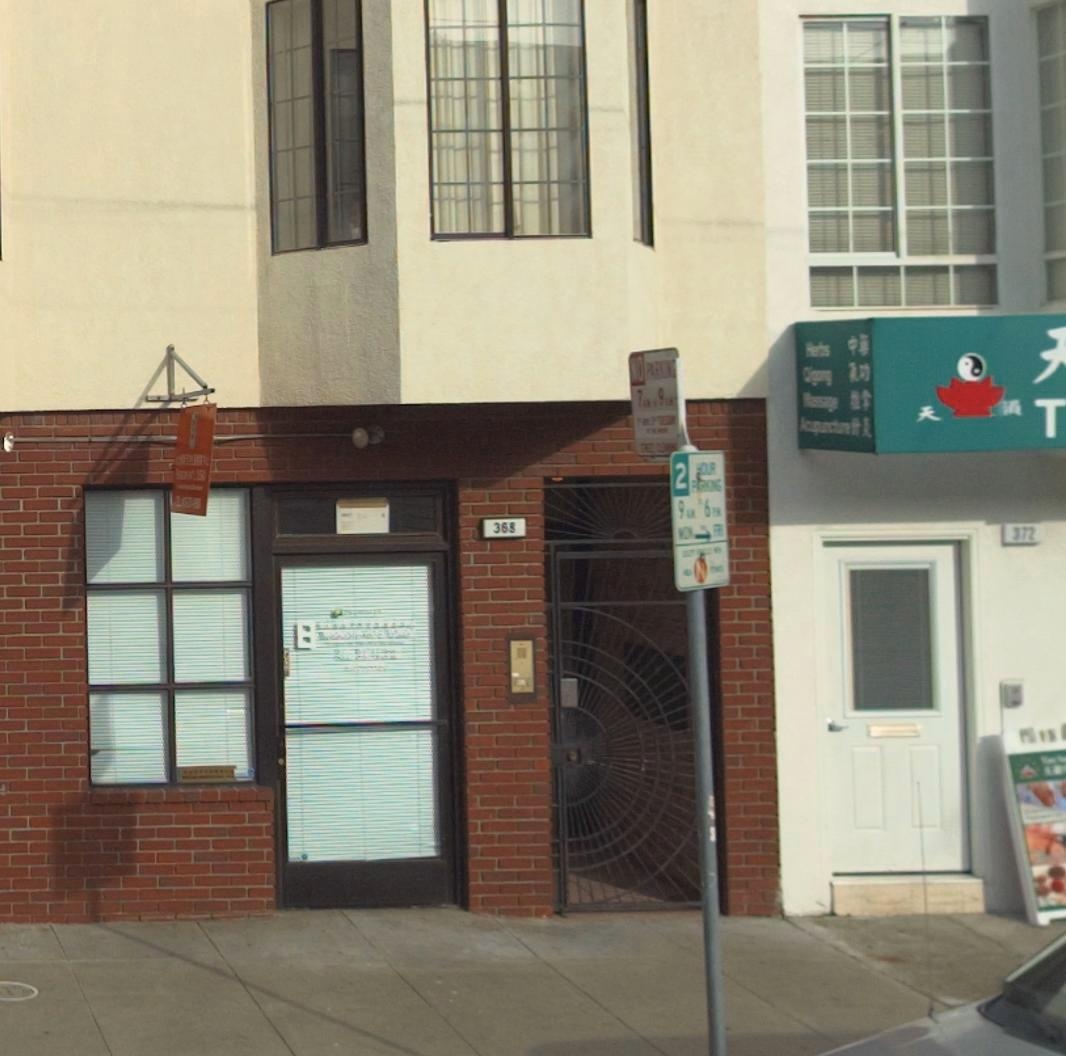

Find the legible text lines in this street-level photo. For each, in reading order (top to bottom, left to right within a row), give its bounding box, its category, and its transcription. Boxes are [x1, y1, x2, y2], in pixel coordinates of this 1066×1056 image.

[629, 356, 677, 384] None: NO PARKING
[635, 389, 643, 409] None: 7
[656, 387, 665, 406] None: 9
[1034, 398, 1066, 439] None: T
[674, 460, 688, 491] None: 2
[695, 461, 717, 476] None: *OUR
[689, 478, 722, 494] None: P*RKING
[677, 500, 685, 520] None: 9
[703, 498, 712, 518] None: 6
[491, 521, 516, 534] StreetNumber: 368
[695, 561, 707, 582] None: N
[296, 620, 317, 651] None: B